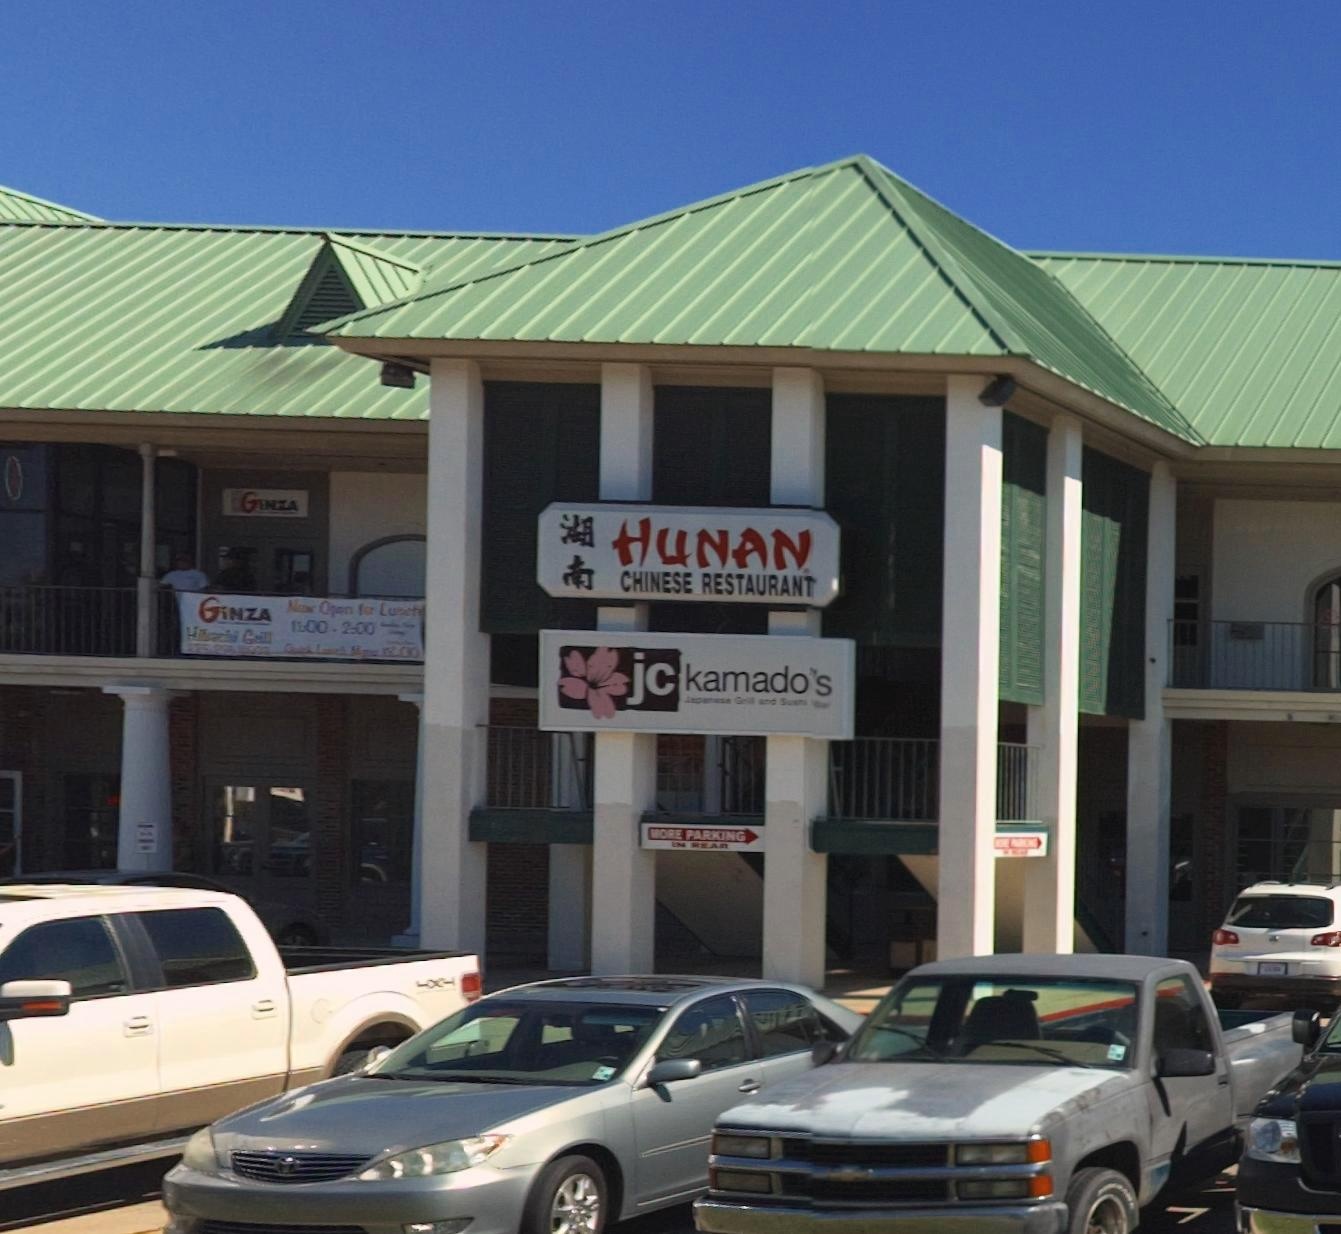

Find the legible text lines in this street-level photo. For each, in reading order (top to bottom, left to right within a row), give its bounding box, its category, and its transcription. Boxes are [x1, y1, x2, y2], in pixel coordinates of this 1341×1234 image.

[238, 488, 302, 515] BusinessName: GiNZA
[608, 512, 817, 574] BusinessName: HUNAN
[617, 567, 819, 600] BusinessName: CHINESE RESTAURANT
[196, 593, 276, 626] BusinessName: GiNZA
[286, 597, 423, 620] None: Now Open for Lunch
[183, 623, 277, 647] None: Hibachi Grill
[289, 615, 378, 637] None: 11:00-2:00
[398, 644, 422, 660] None: 00
[622, 646, 838, 709] BusinessName: jc kamado's
[683, 693, 779, 708] BusinessName: Japanese Grill and
[647, 826, 749, 843] None: MORE PARKING
[670, 839, 731, 851] None: IN REAR
[413, 973, 457, 994] None: 4x4